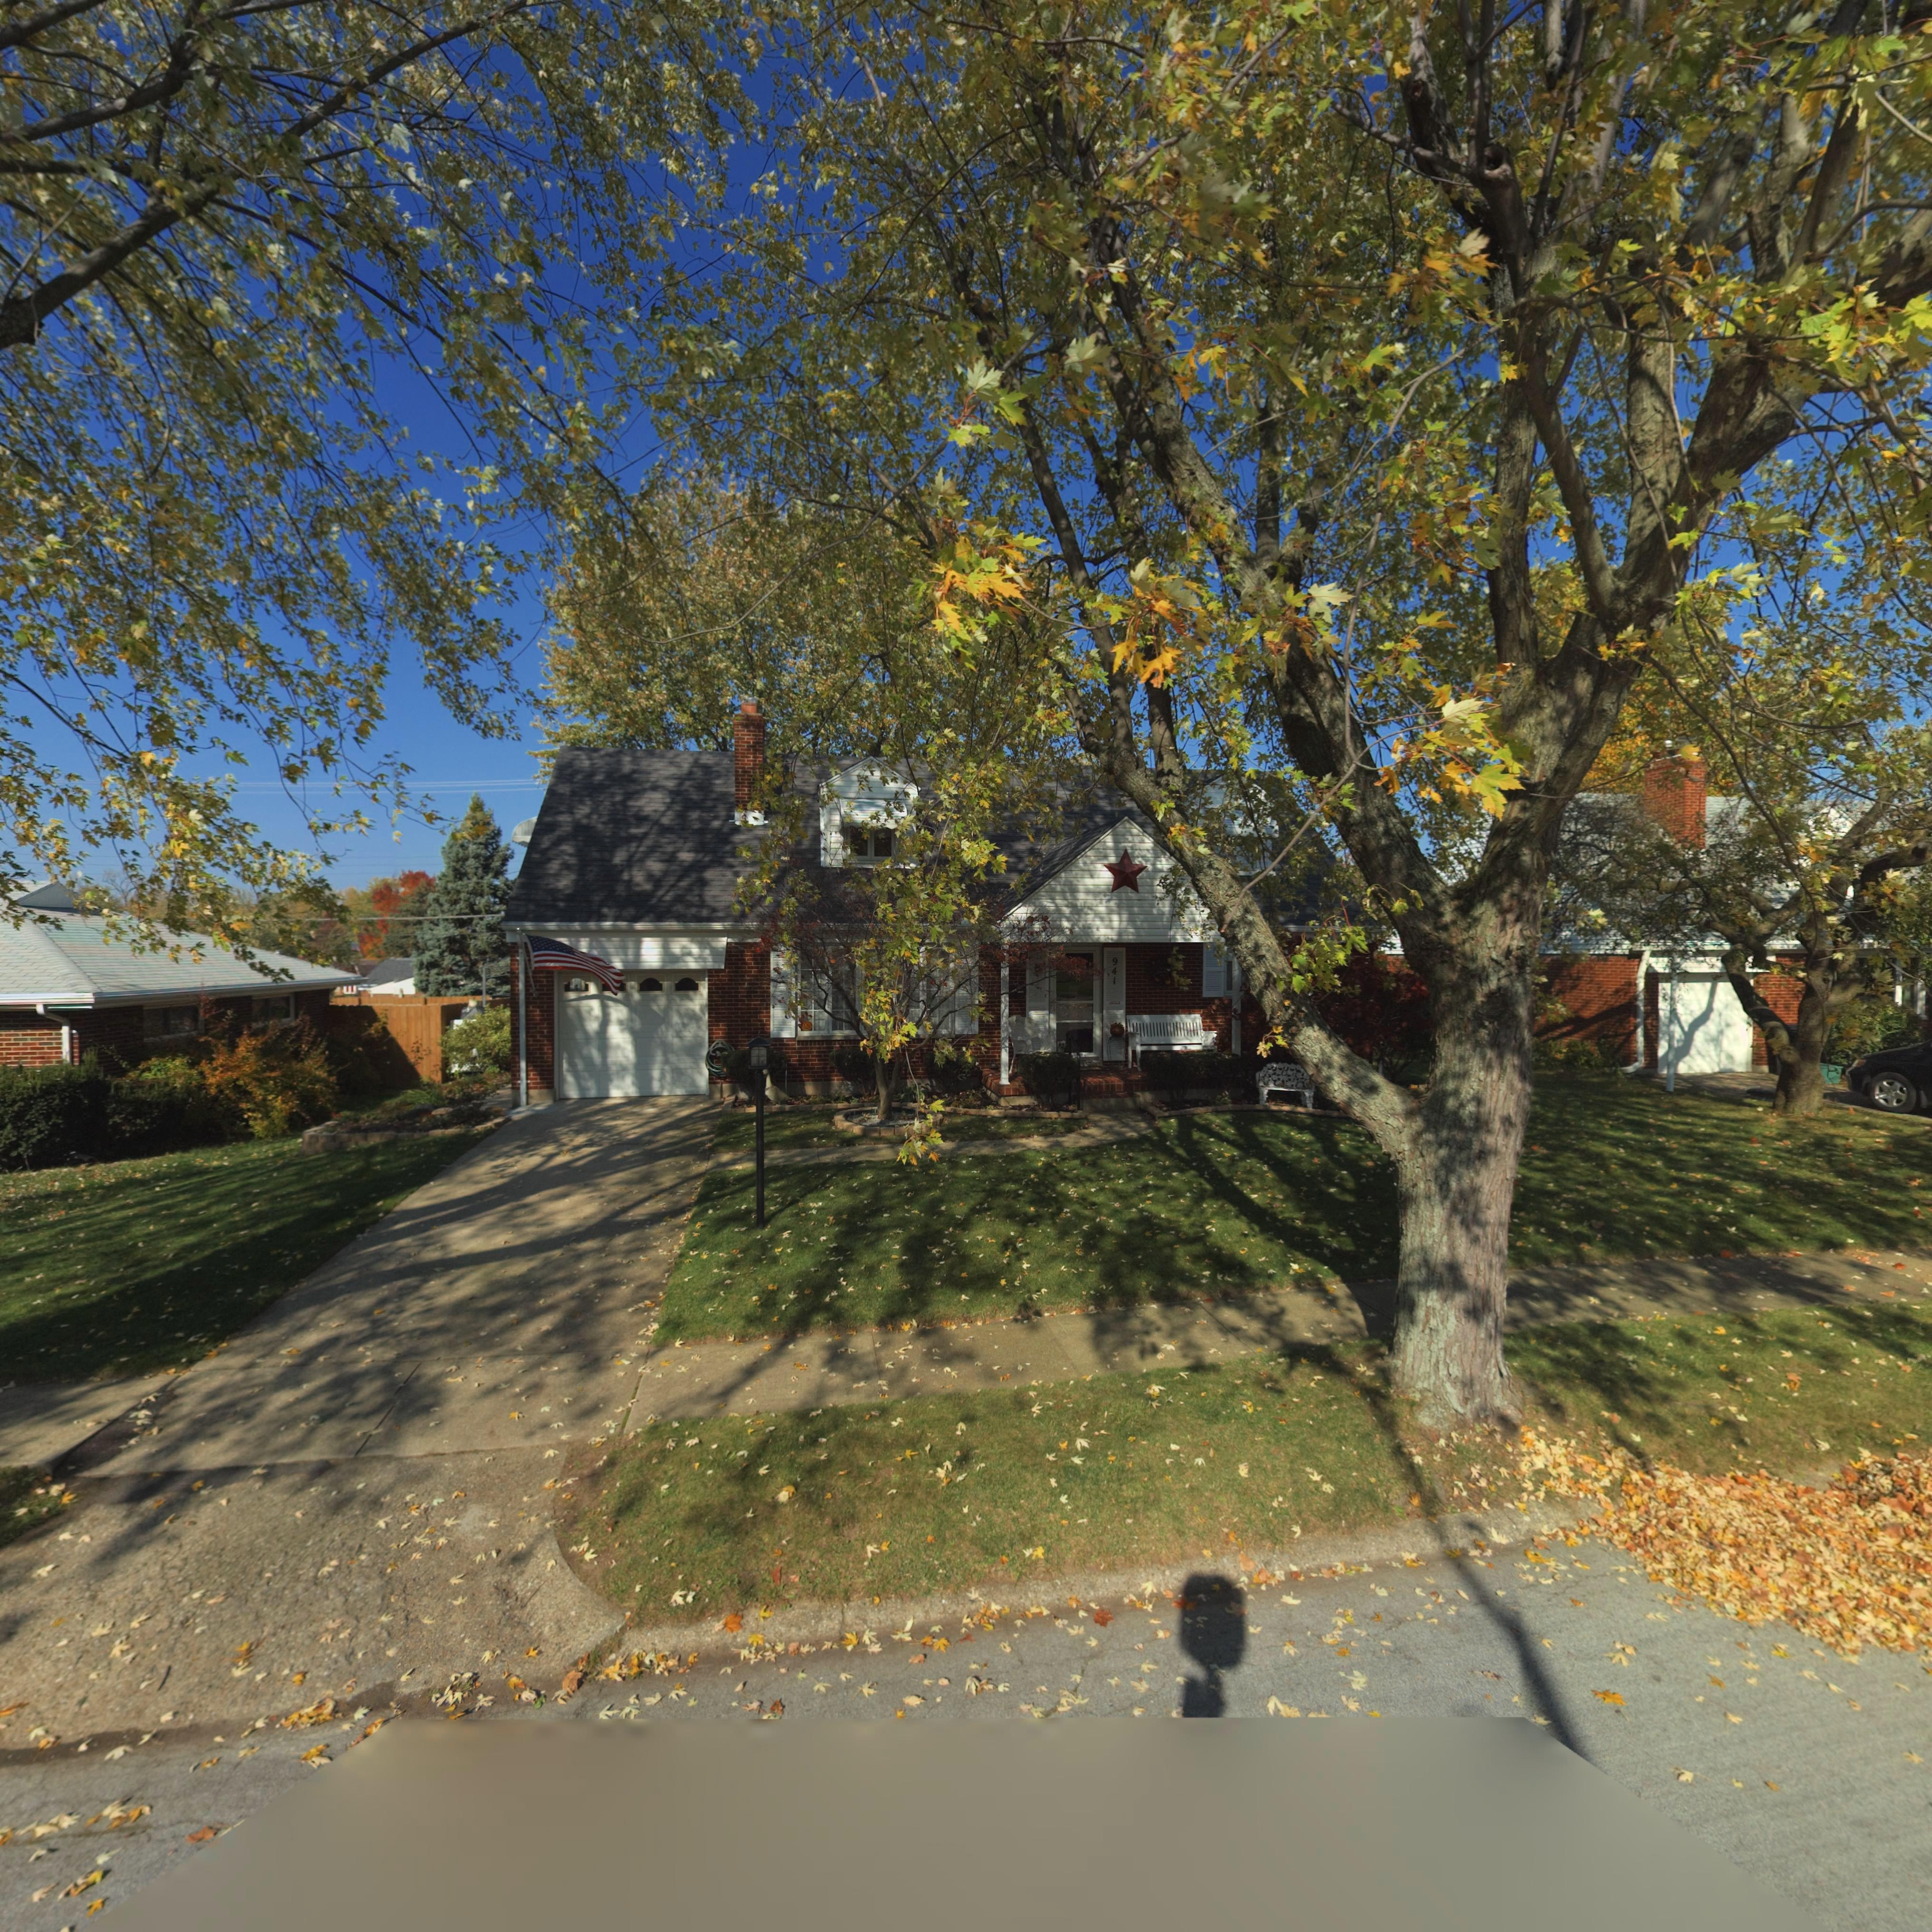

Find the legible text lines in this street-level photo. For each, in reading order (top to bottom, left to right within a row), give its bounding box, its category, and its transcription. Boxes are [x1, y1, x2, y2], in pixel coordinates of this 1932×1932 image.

[1111, 957, 1118, 985] StreetNumber: 941